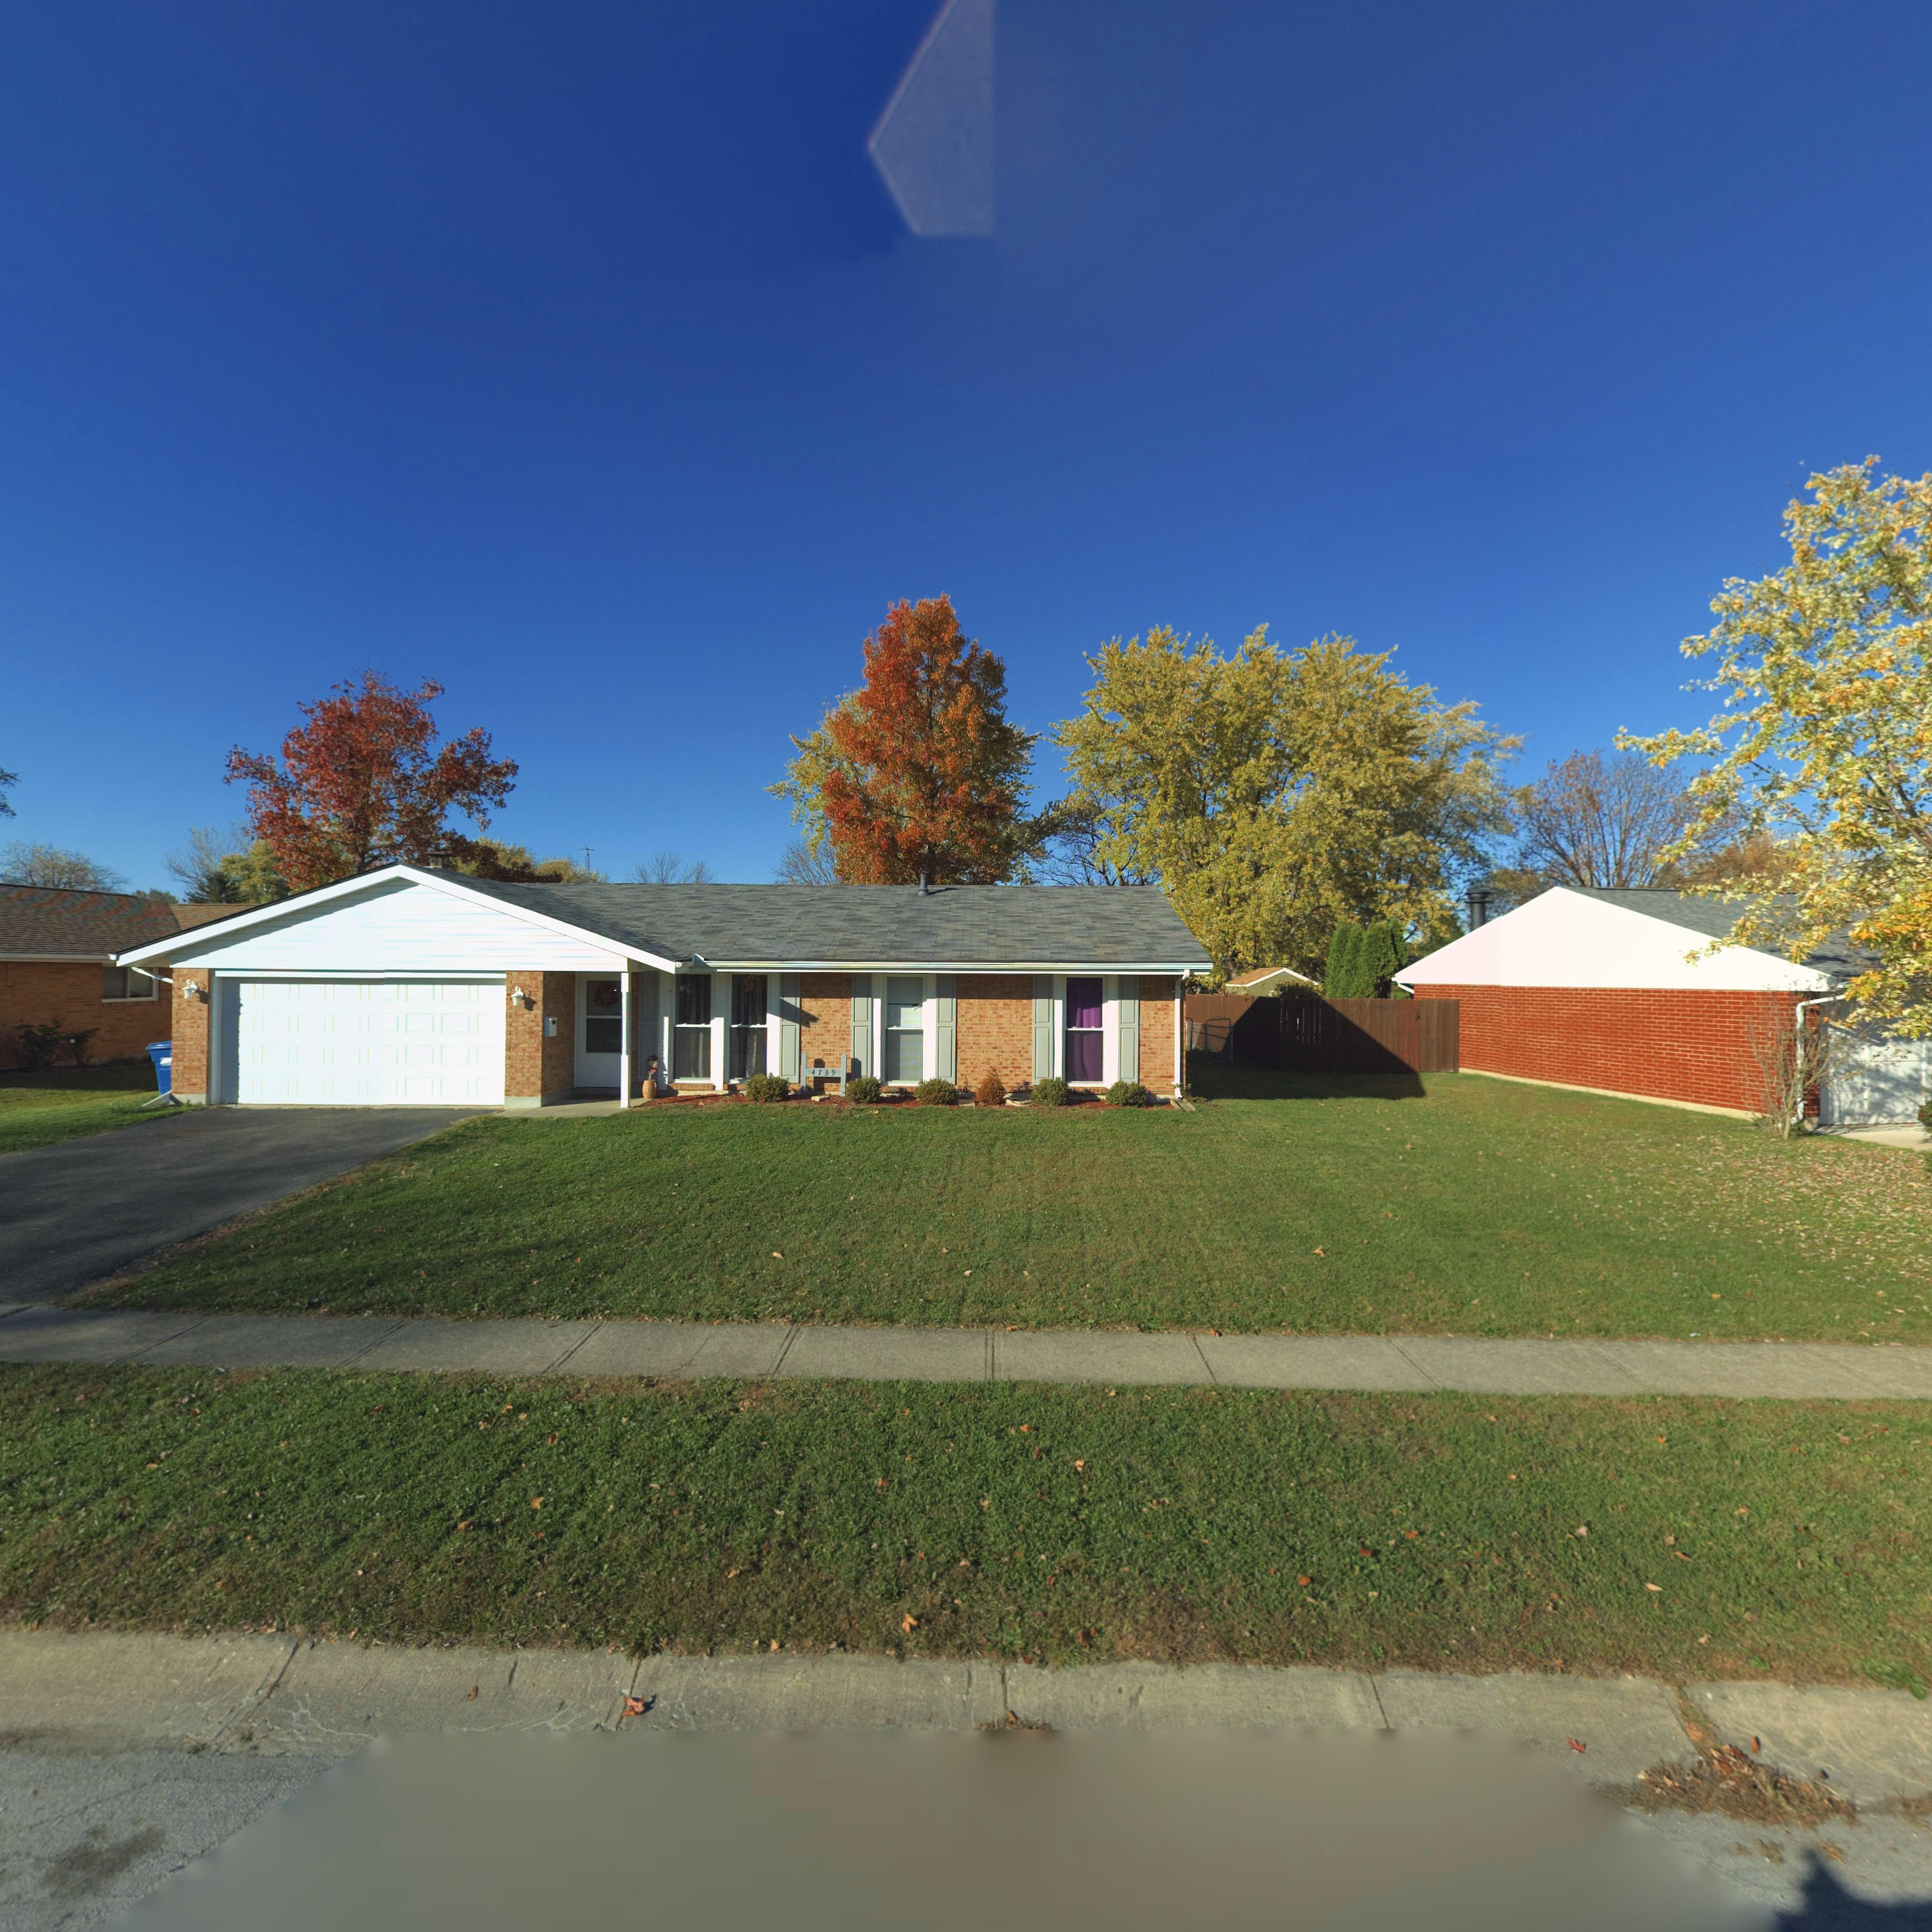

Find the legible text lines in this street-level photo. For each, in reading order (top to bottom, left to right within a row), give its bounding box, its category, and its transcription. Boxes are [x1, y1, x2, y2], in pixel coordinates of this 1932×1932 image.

[811, 1069, 837, 1077] StreetNumber: 4739